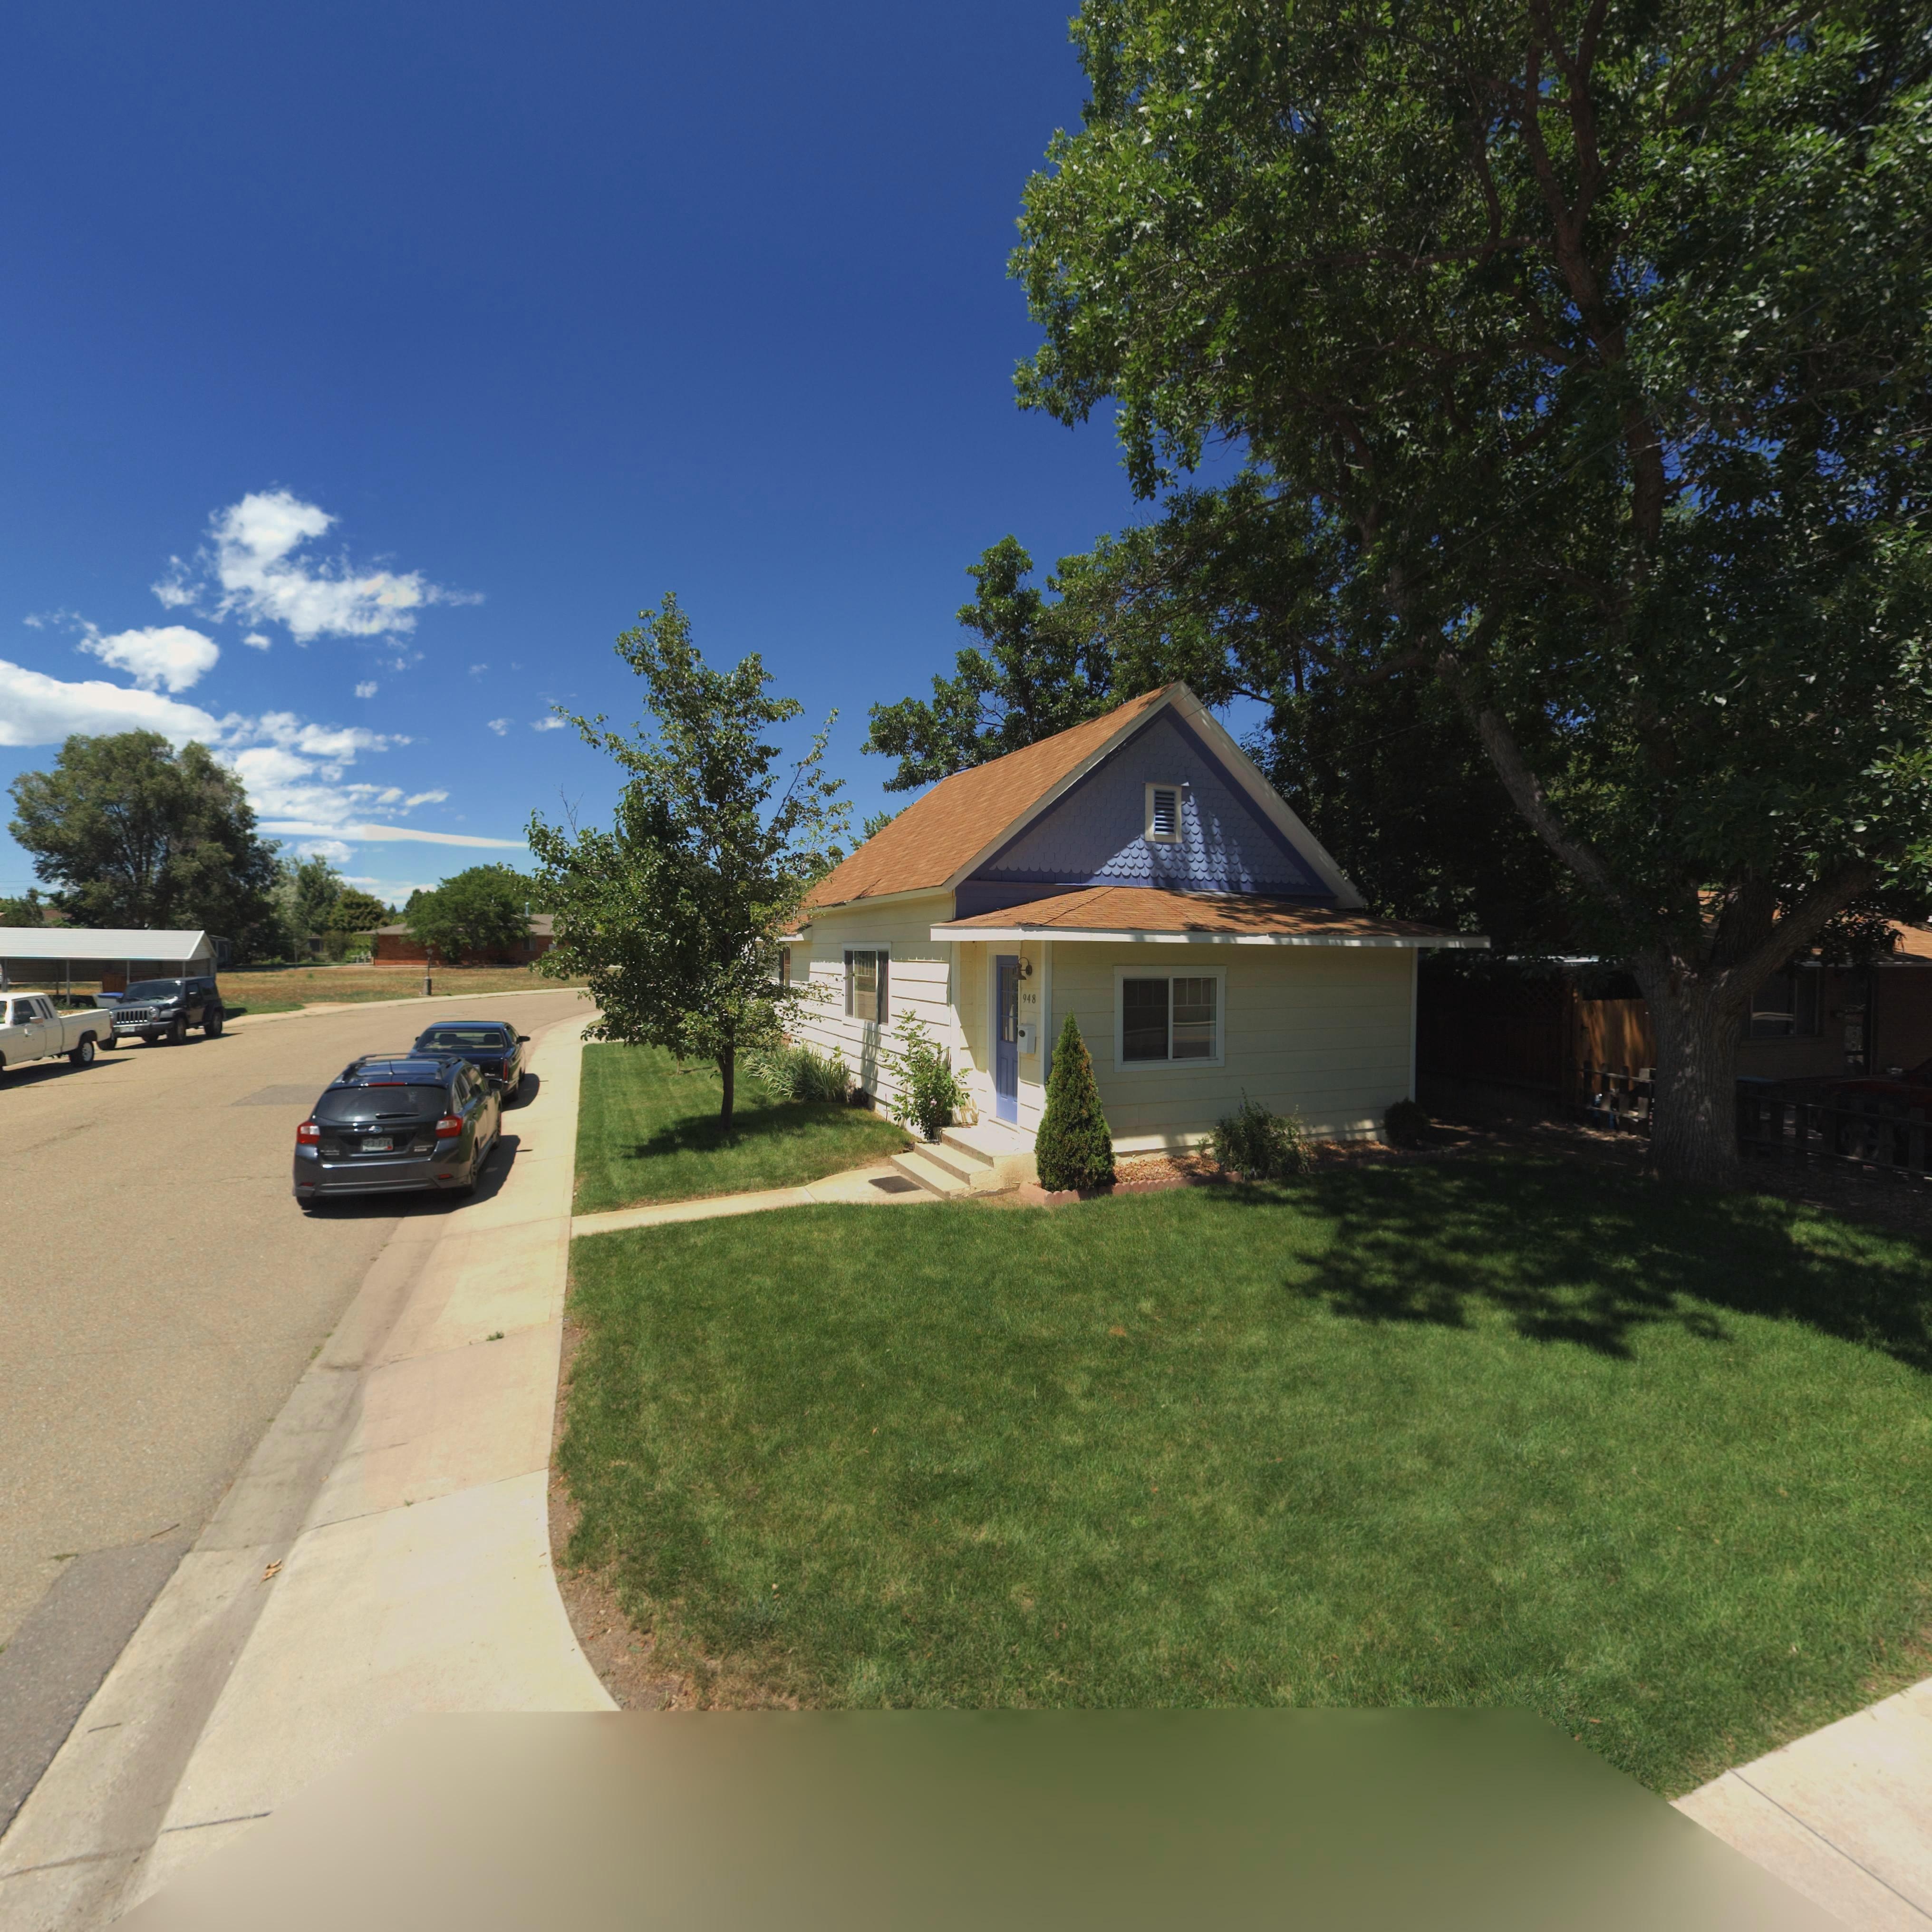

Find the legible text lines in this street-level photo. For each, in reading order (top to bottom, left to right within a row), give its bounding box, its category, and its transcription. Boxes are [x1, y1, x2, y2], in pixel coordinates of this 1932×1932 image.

[1023, 993, 1035, 1004] StreetNumber: 948